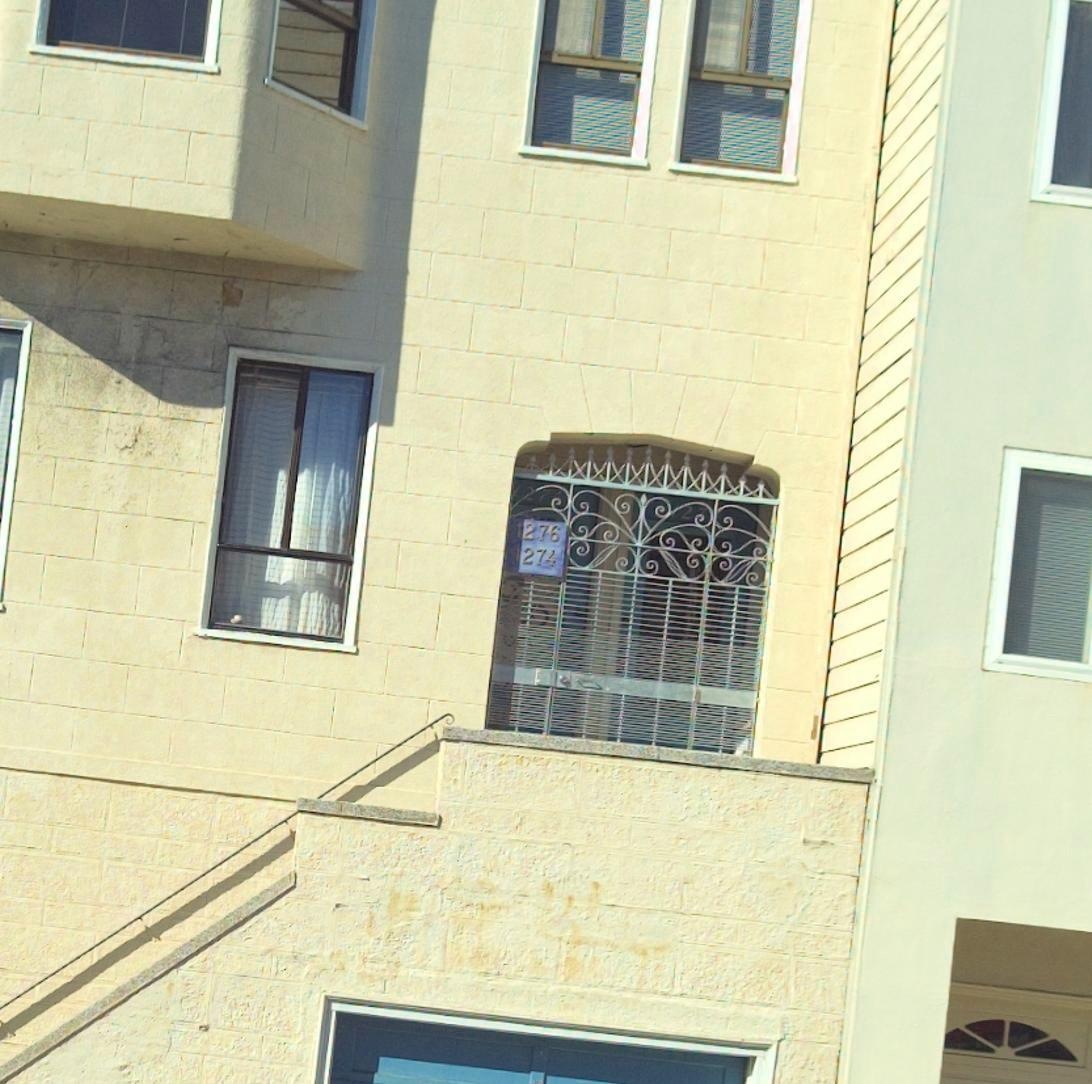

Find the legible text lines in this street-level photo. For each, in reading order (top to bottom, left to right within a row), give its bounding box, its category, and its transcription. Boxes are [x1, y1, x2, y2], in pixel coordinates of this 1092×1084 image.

[514, 520, 562, 544] StreetNumber: 1276
[512, 545, 559, 569] StreetNumber: 1274